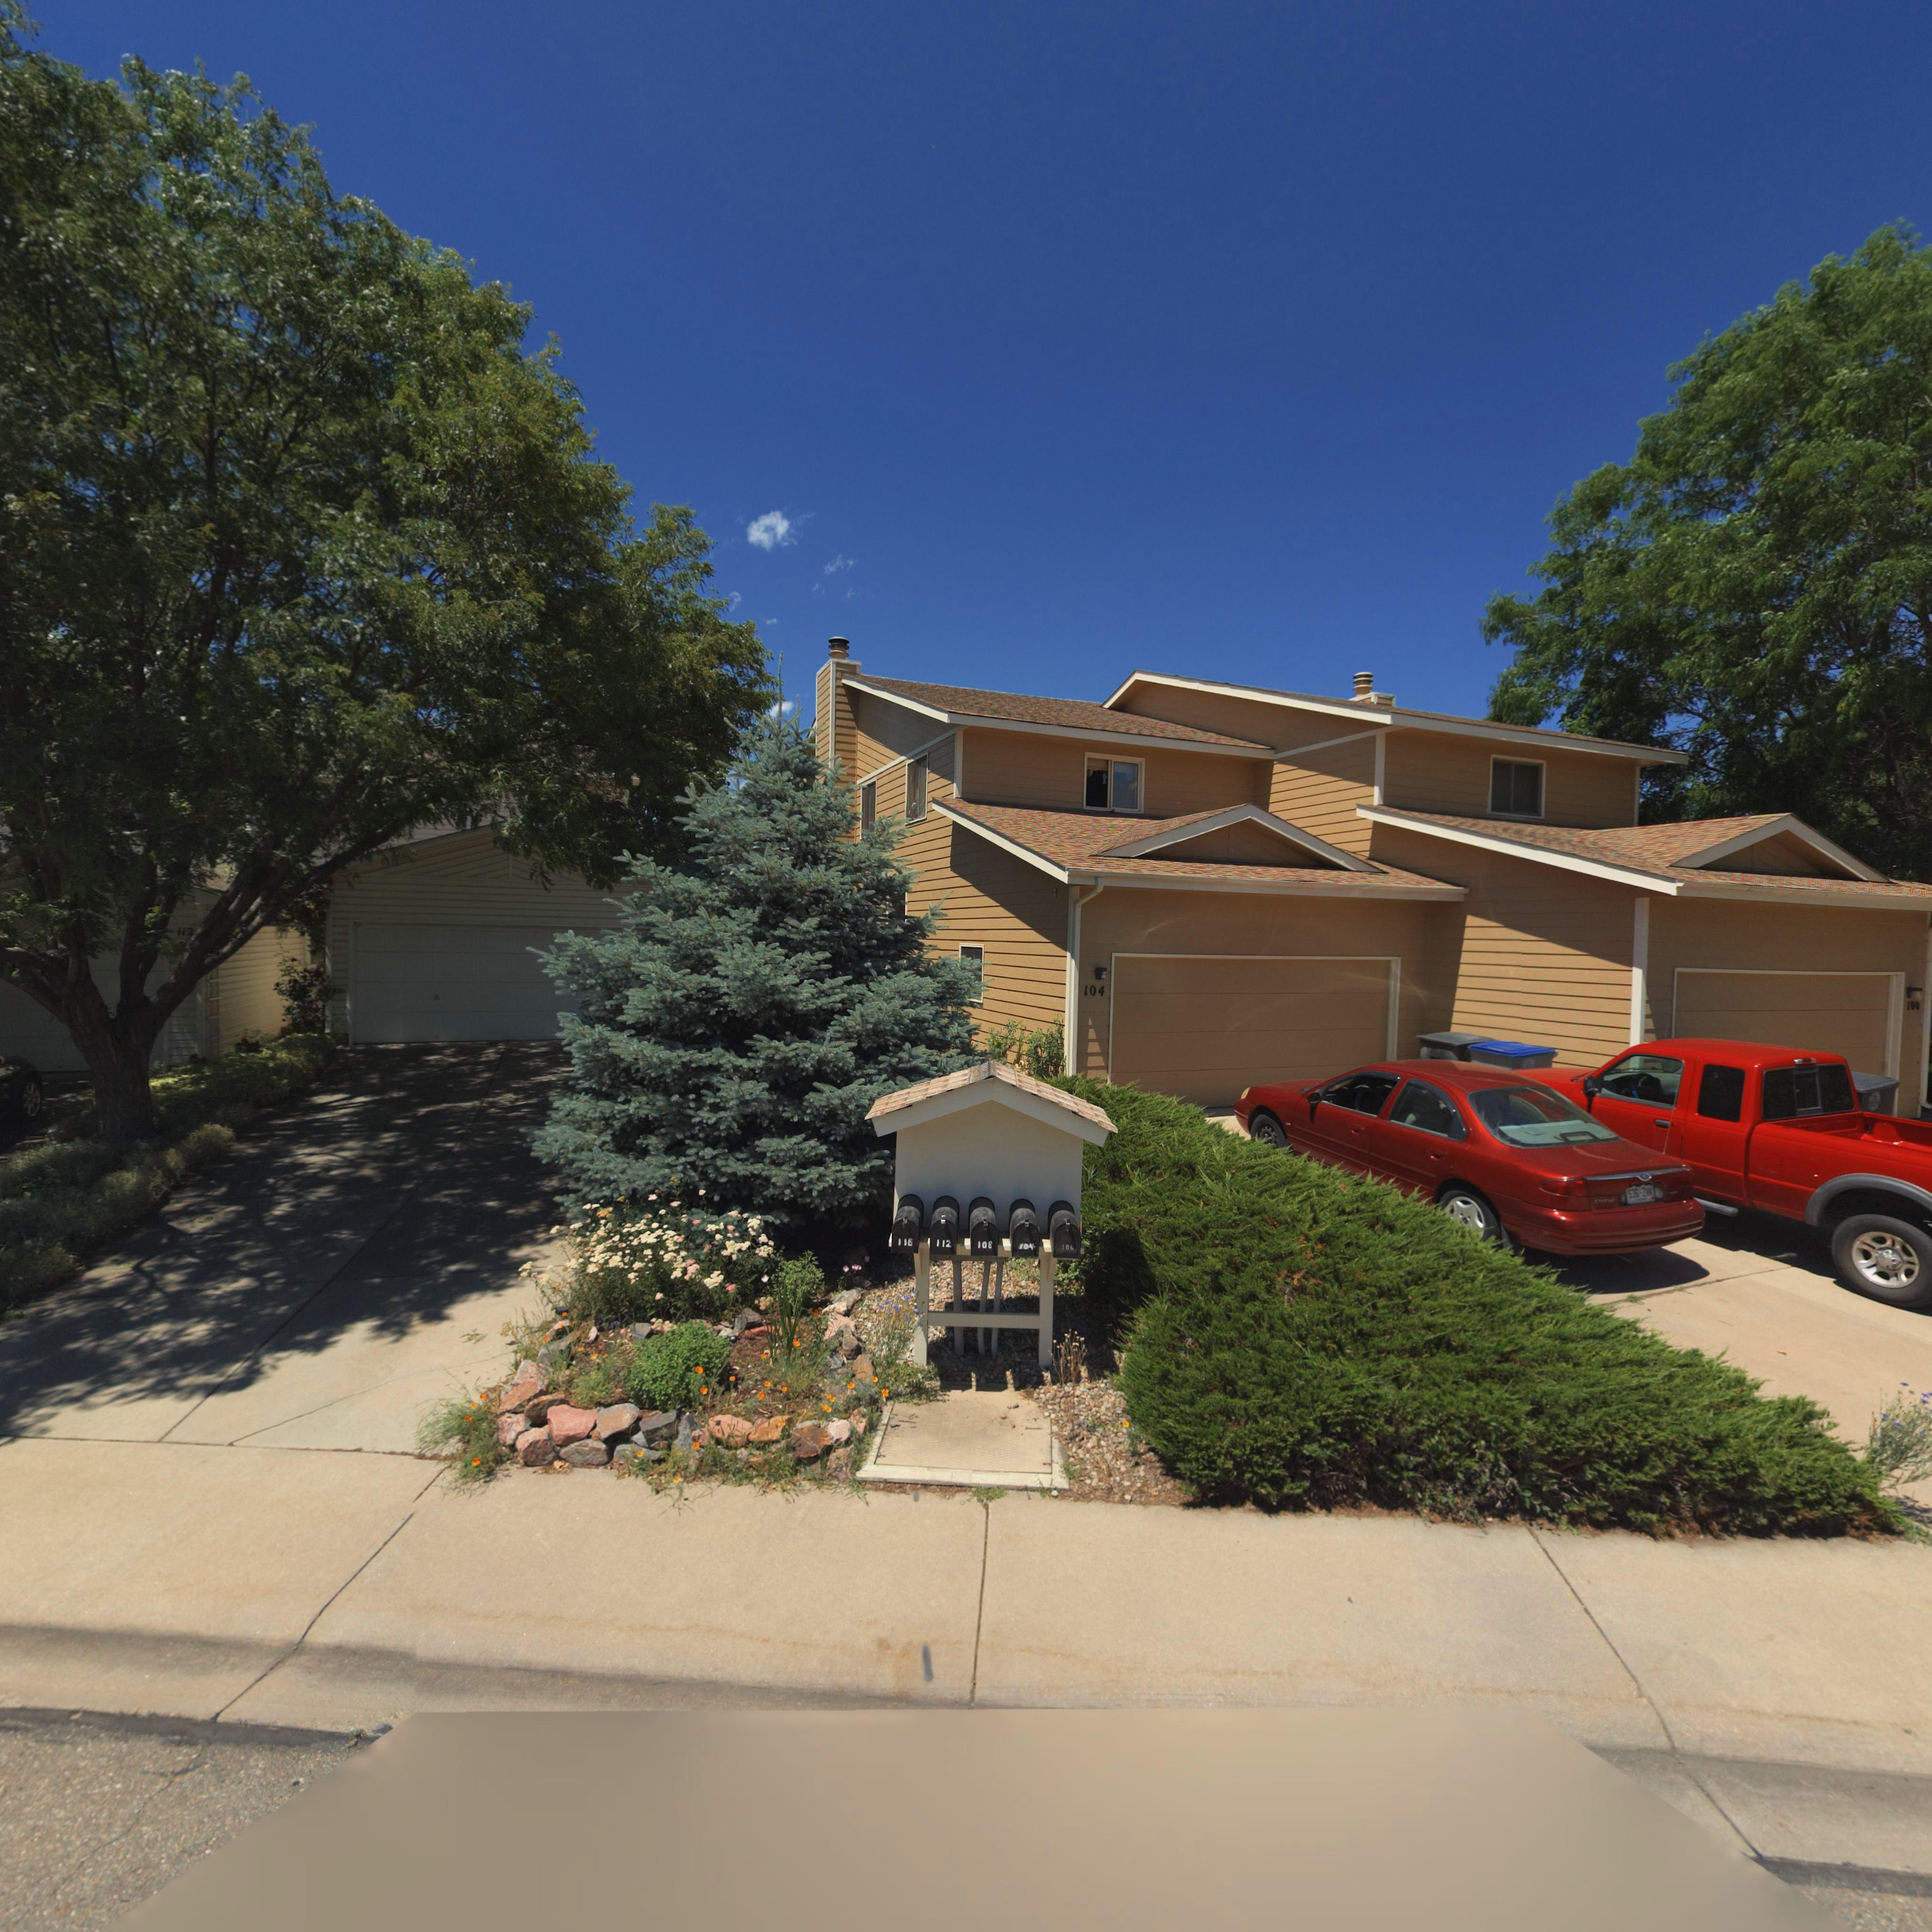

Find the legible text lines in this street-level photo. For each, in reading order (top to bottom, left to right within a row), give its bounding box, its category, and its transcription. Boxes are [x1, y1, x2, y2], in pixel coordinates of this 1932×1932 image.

[1083, 985, 1105, 996] StreetNumber: 104
[897, 1237, 913, 1246] StreetNumber: 116
[935, 1238, 953, 1247] StreetNumber: 112
[976, 1240, 993, 1249] StreetNumber: 108
[1018, 1242, 1036, 1250] StreetNumber: 104
[1062, 1243, 1074, 1251] StreetNumber: 100